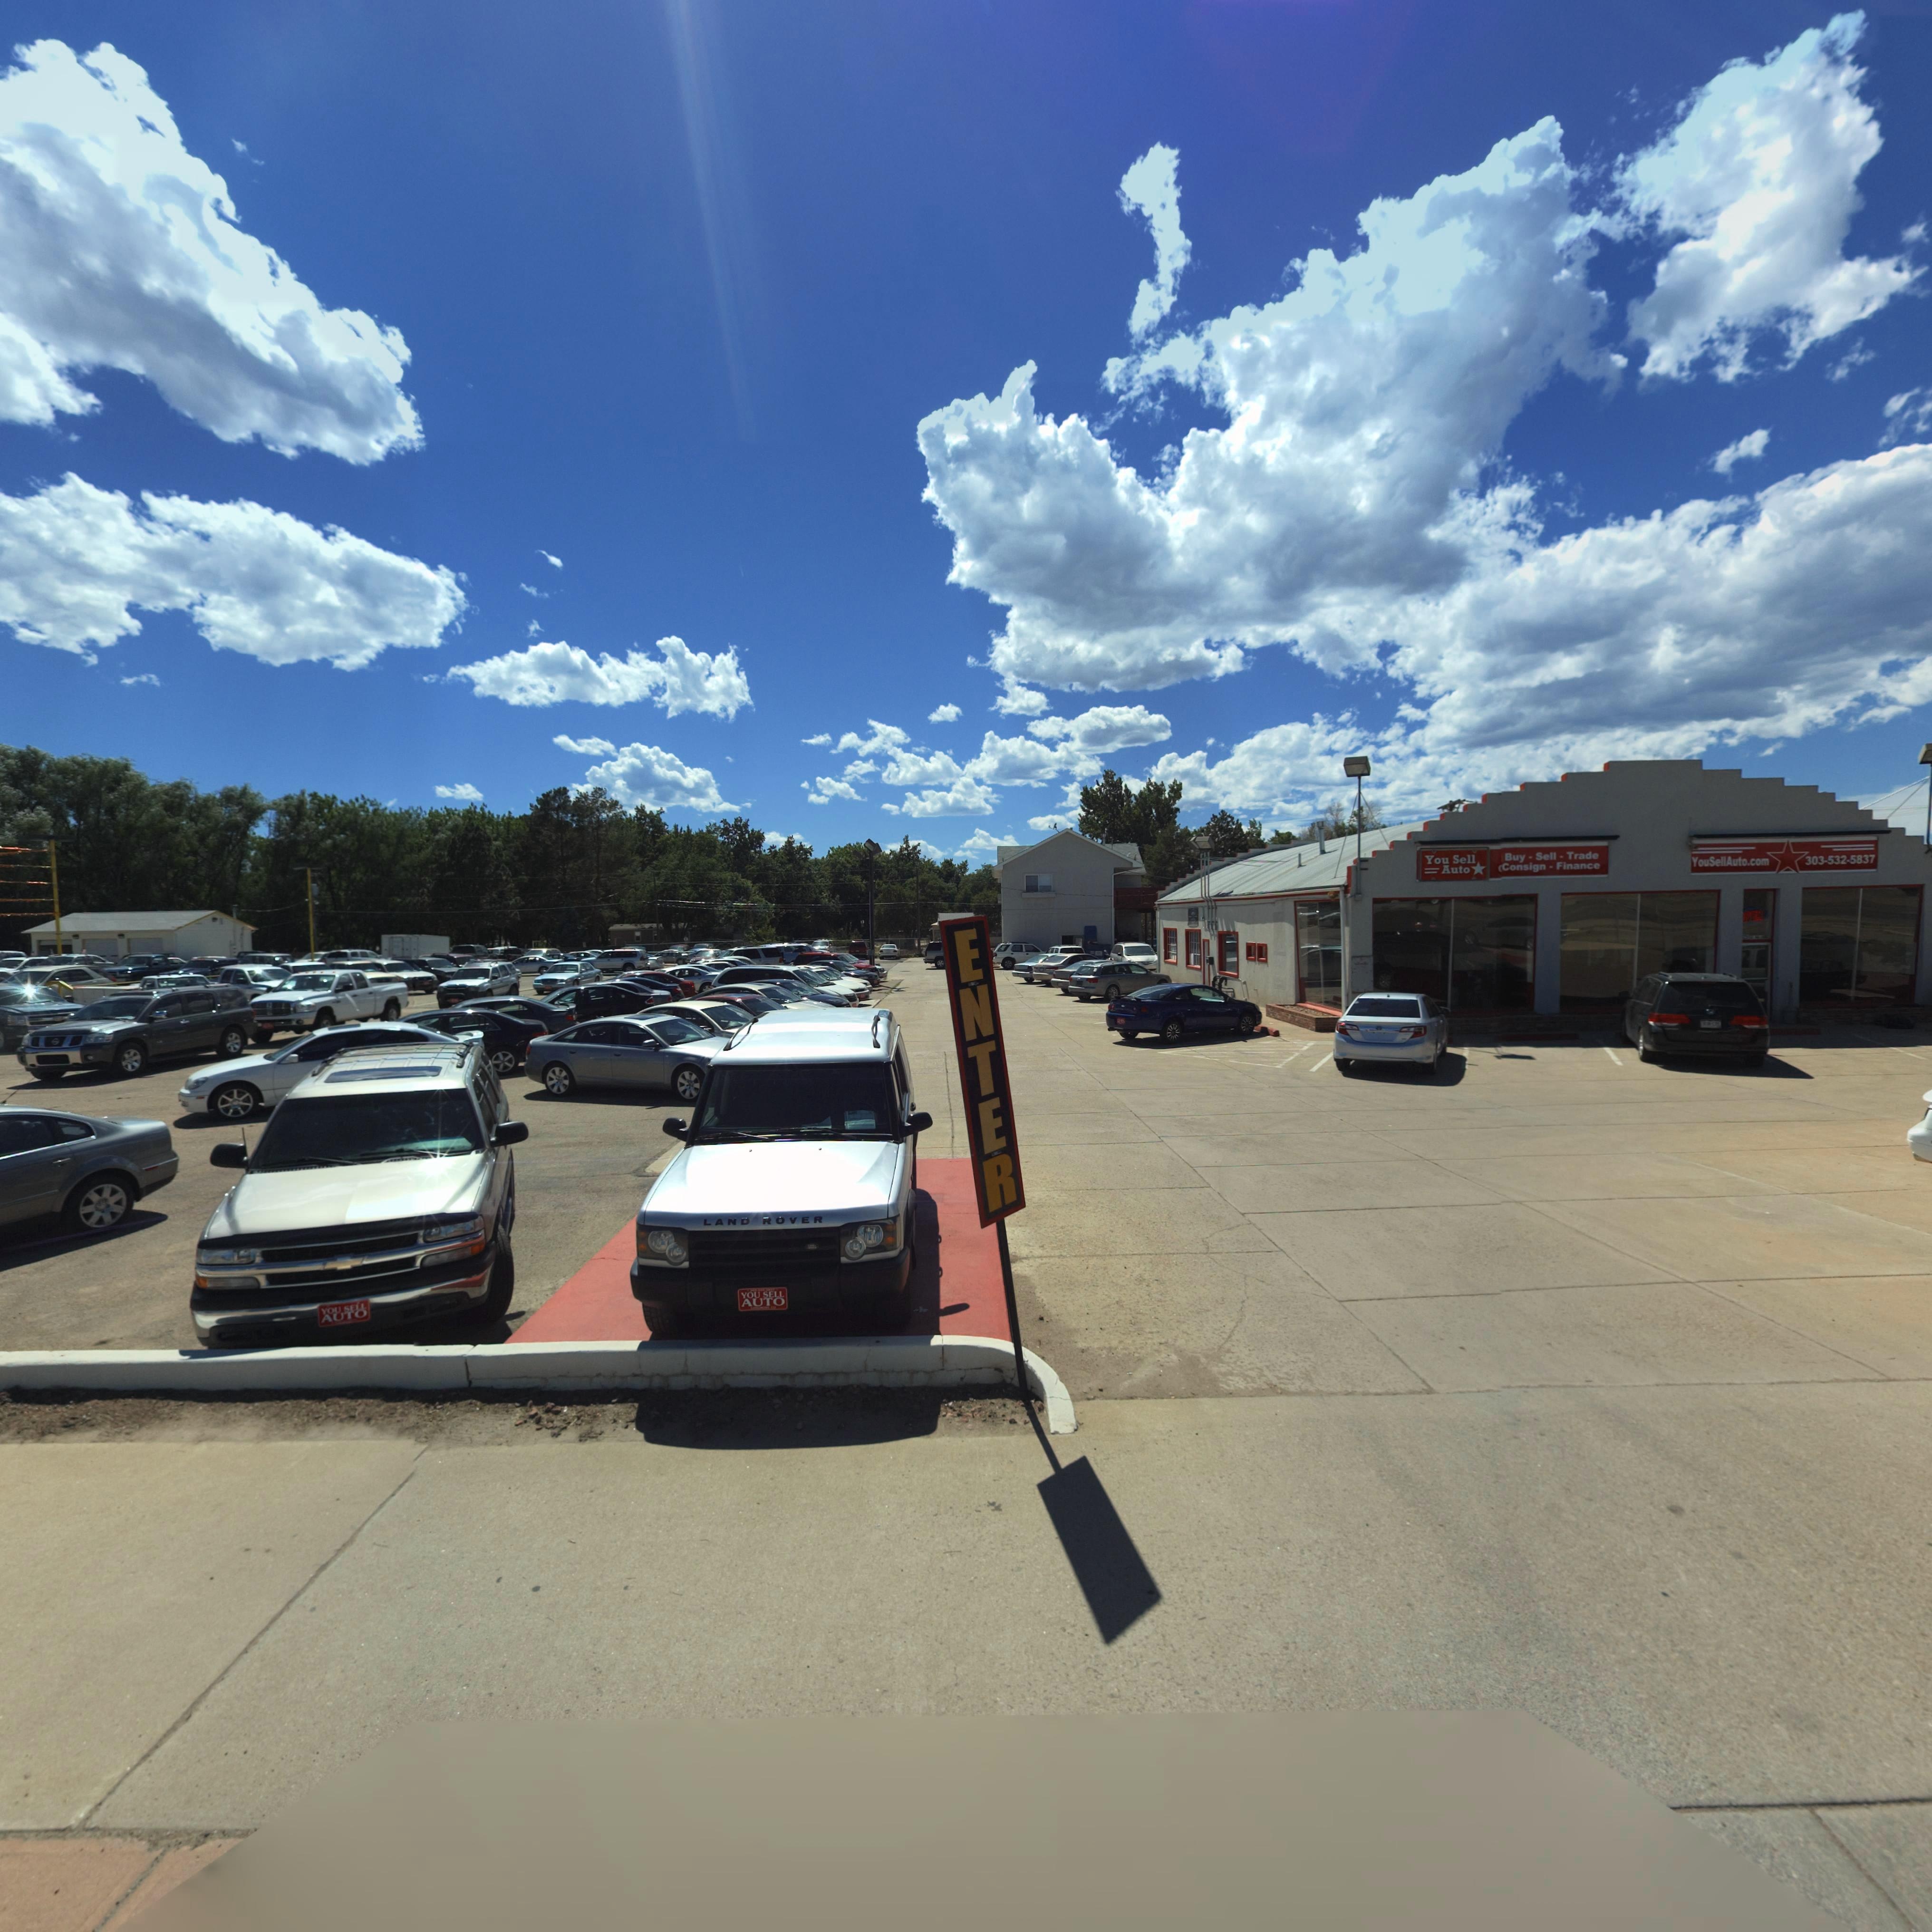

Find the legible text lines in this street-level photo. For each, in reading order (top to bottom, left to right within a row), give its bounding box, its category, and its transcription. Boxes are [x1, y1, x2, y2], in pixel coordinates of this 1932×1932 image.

[1424, 853, 1477, 865] BusinessName: You Sell
[1440, 865, 1470, 874] BusinessName: Auto